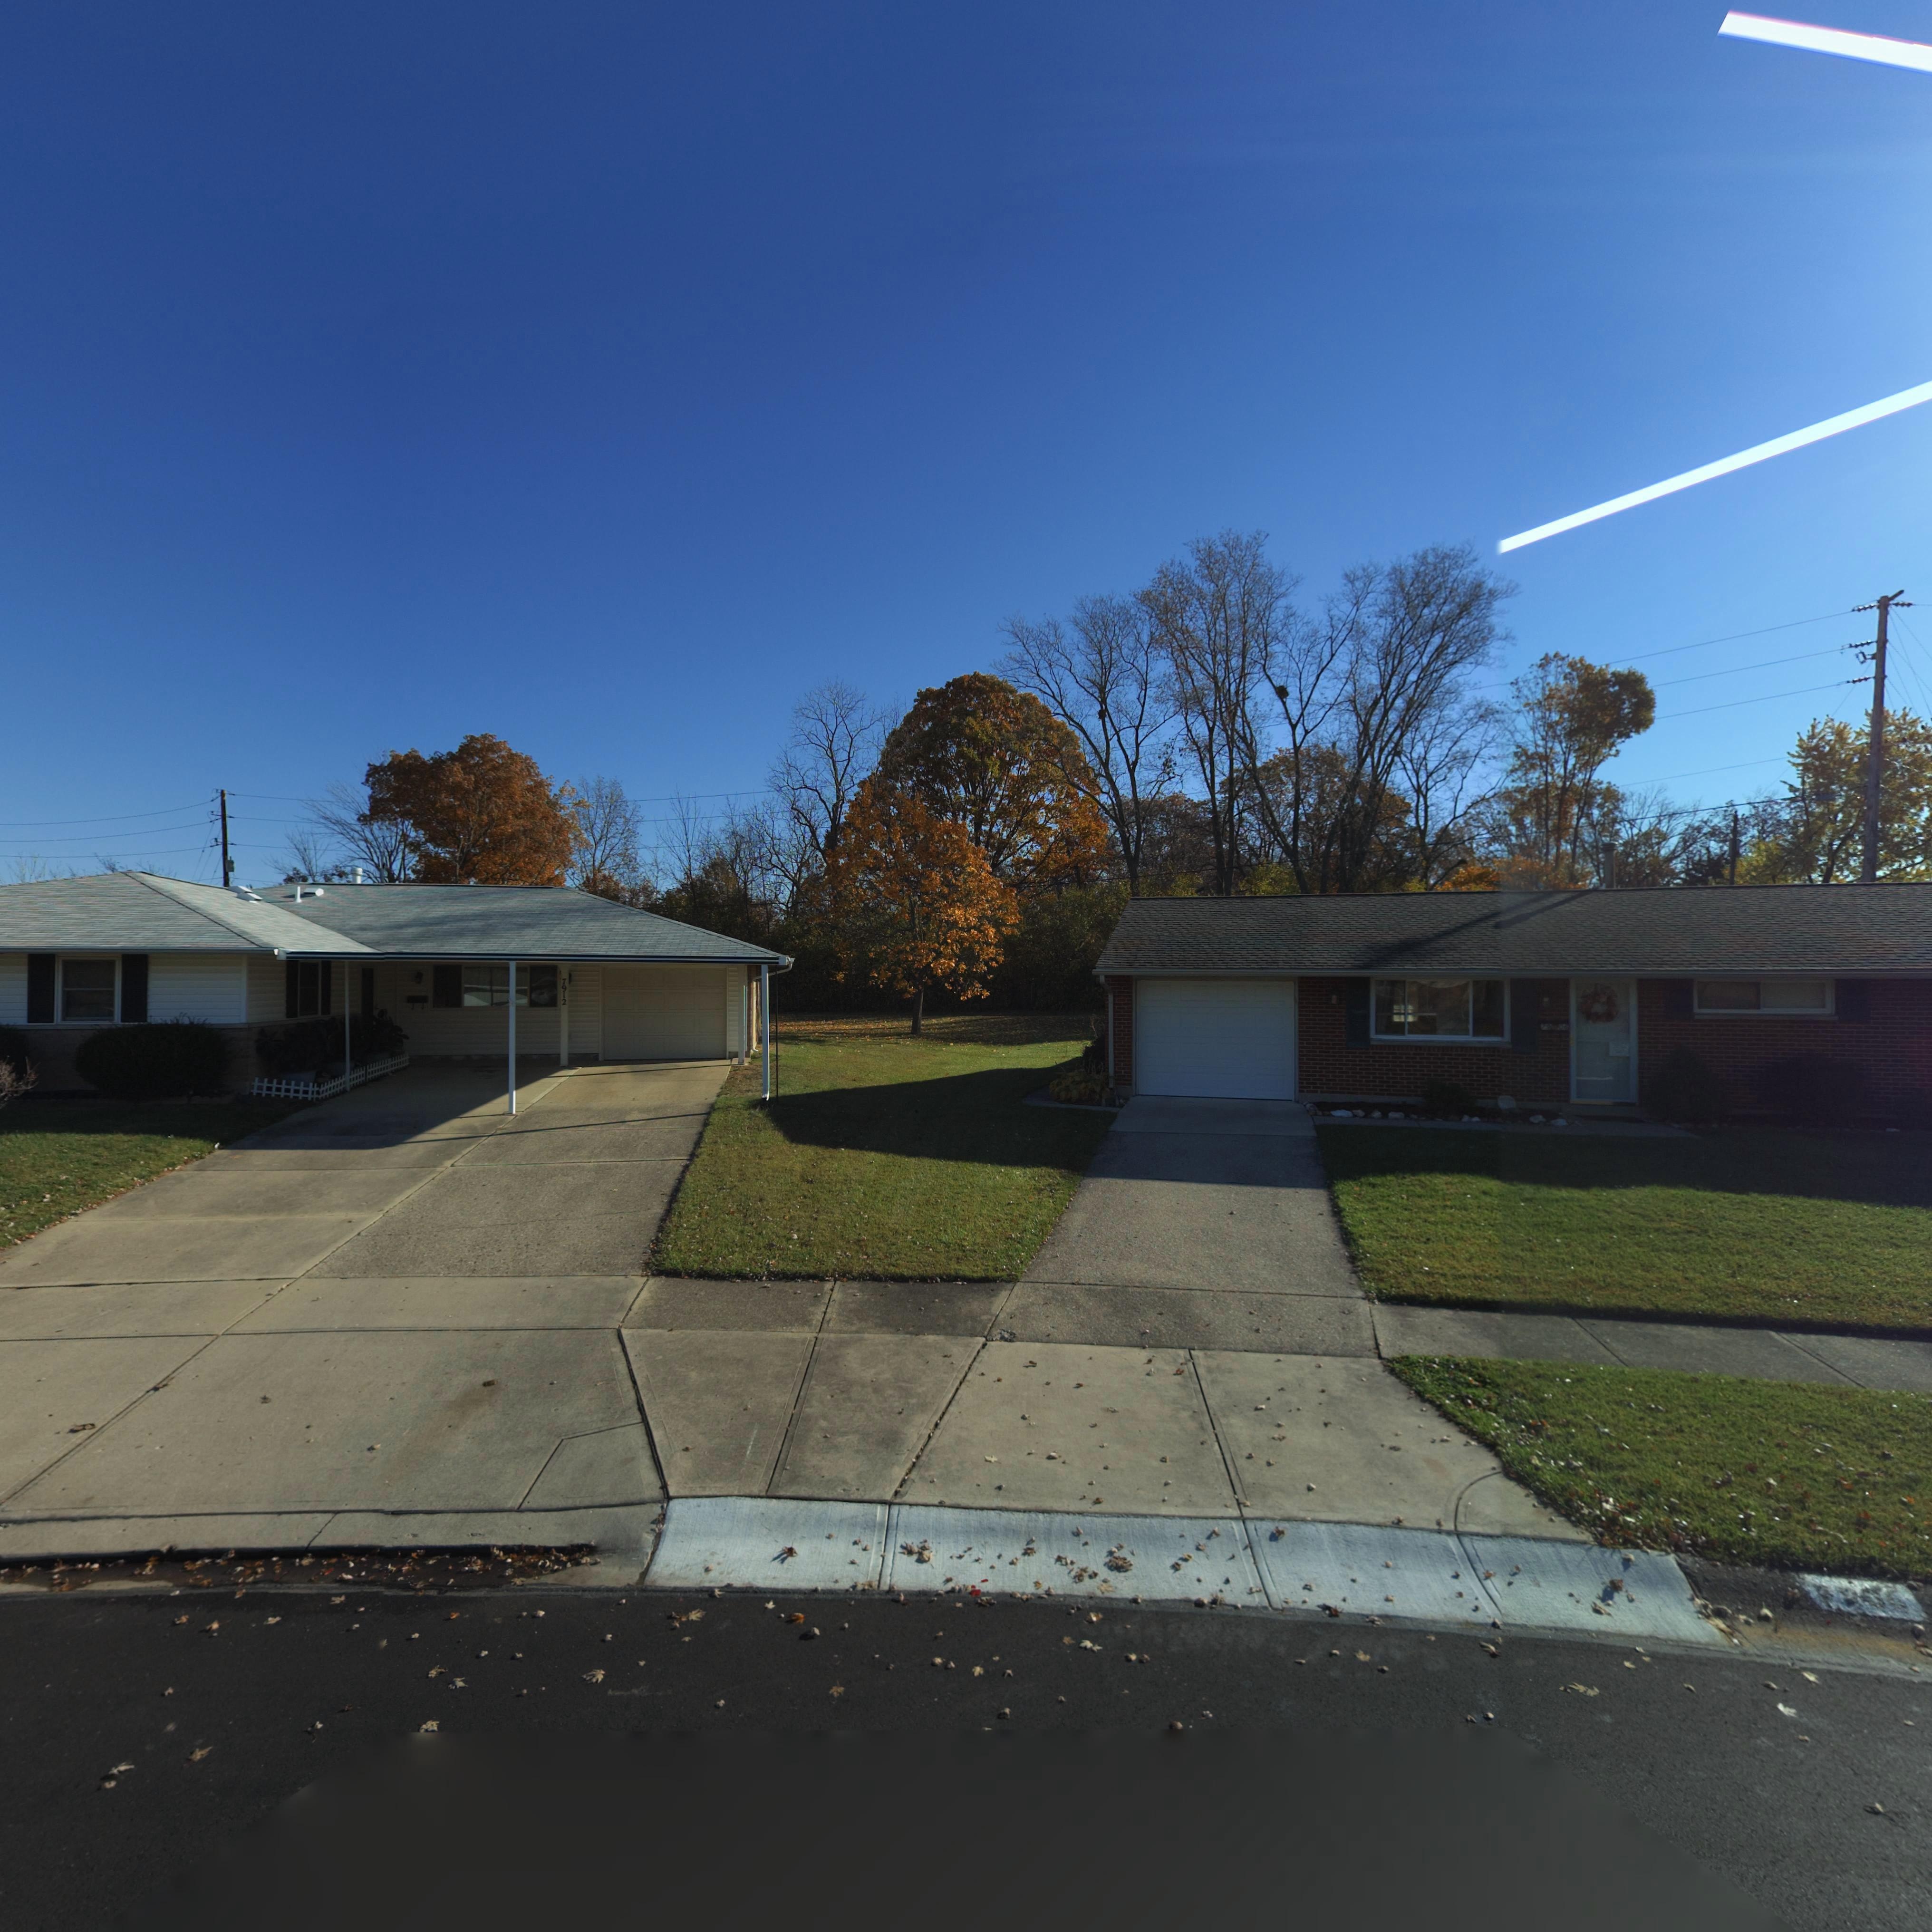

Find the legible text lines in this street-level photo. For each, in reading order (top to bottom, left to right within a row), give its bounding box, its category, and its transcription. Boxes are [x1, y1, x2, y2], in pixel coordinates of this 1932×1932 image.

[560, 977, 568, 1007] StreetNumber: 7912